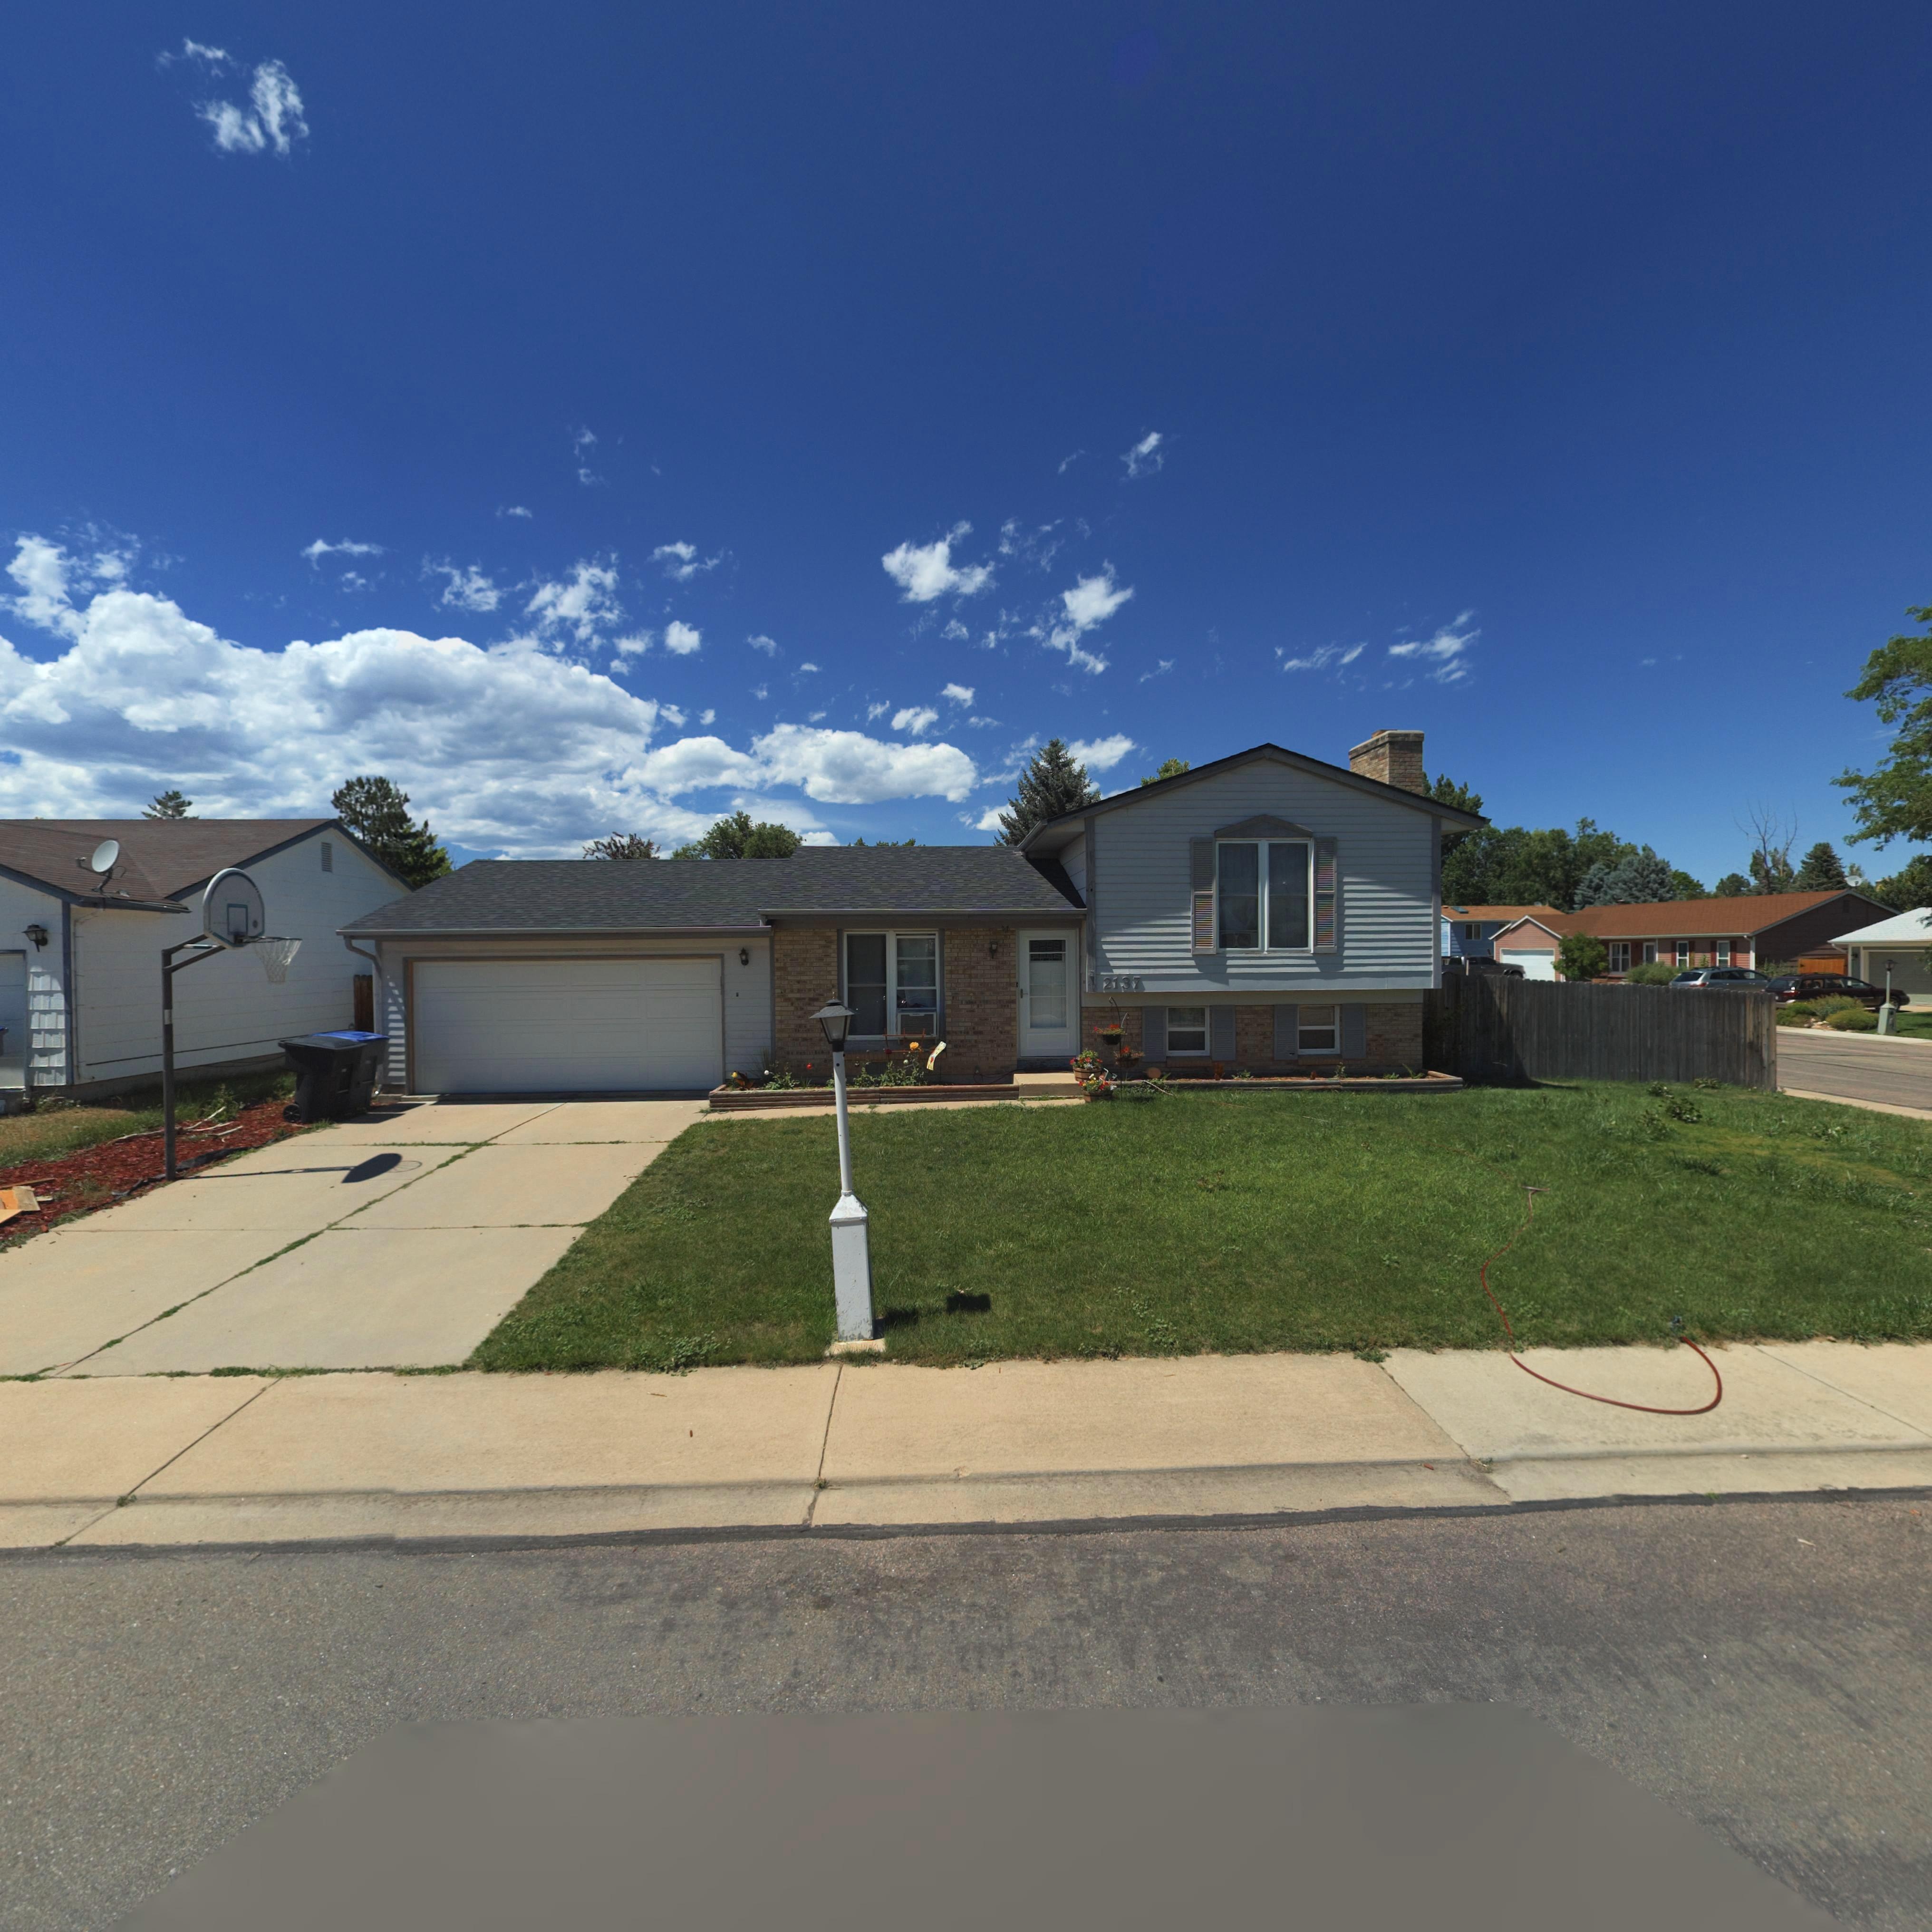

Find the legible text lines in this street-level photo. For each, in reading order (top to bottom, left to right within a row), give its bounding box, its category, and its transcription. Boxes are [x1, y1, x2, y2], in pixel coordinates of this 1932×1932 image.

[1103, 976, 1141, 989] StreetNumber: 2137